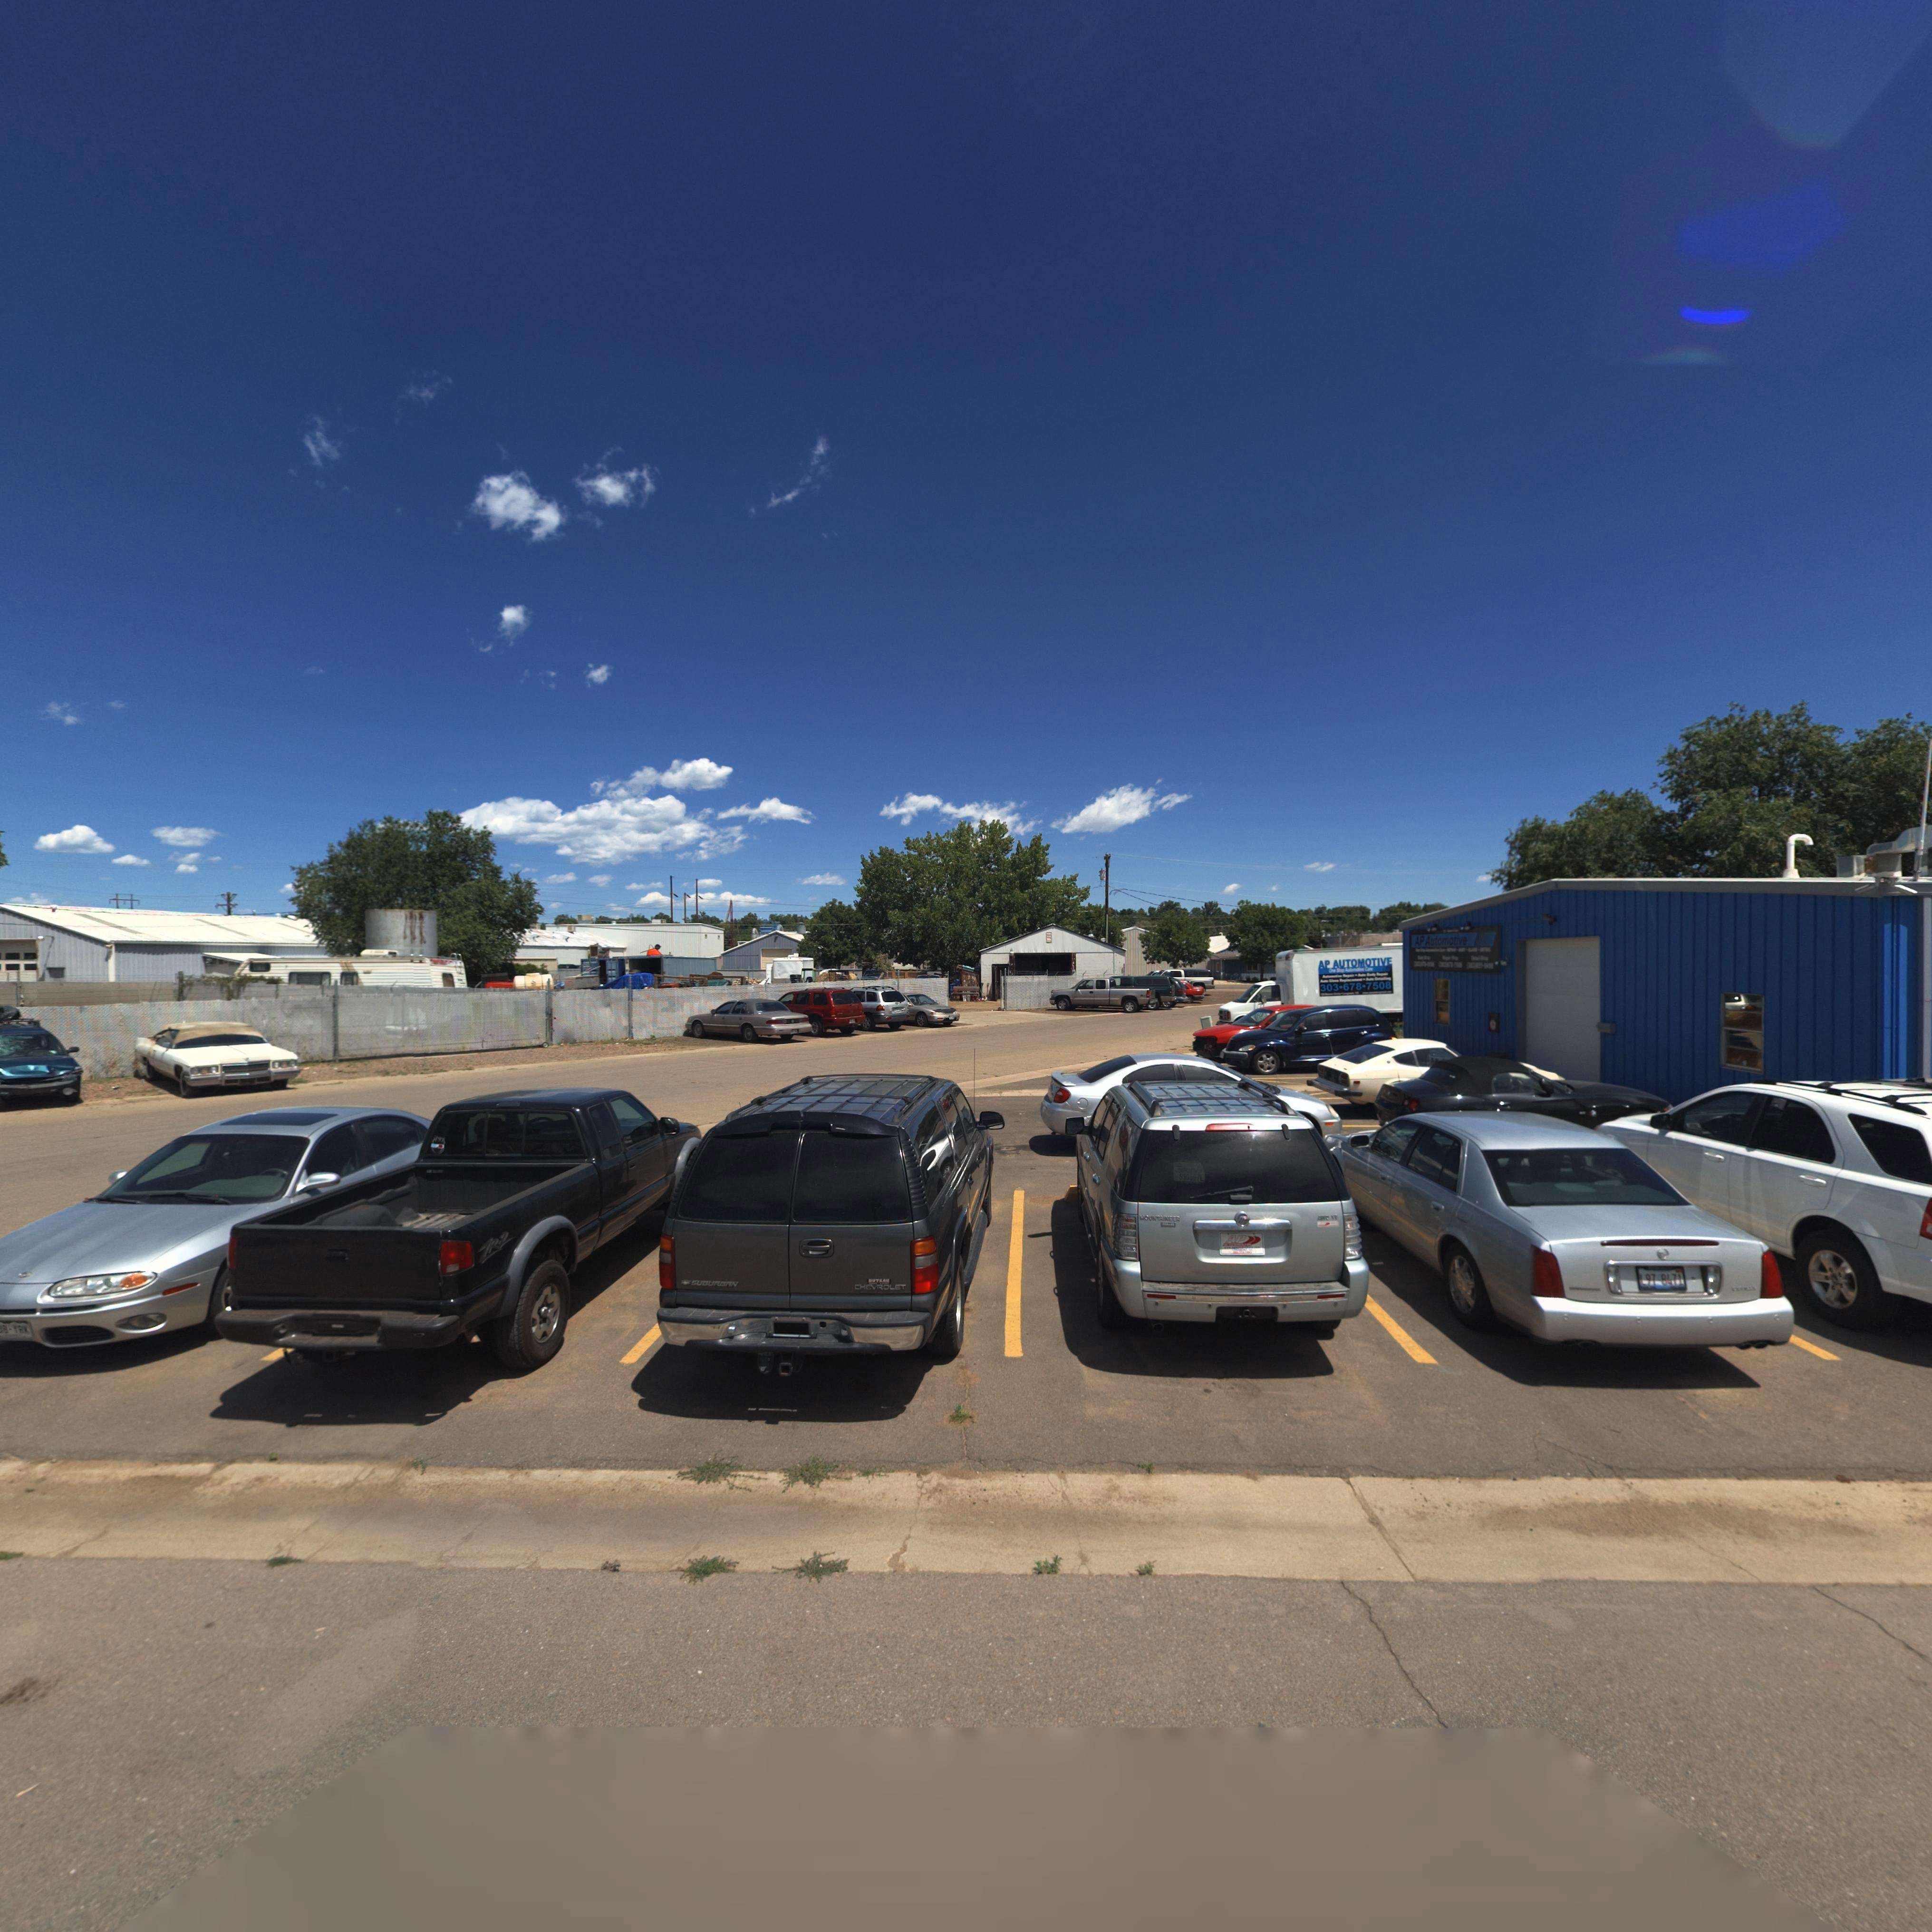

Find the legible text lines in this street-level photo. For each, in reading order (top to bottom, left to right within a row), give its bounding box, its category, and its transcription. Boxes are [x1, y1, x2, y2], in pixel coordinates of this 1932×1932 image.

[1413, 935, 1468, 947] BusinessName: AP Automotive